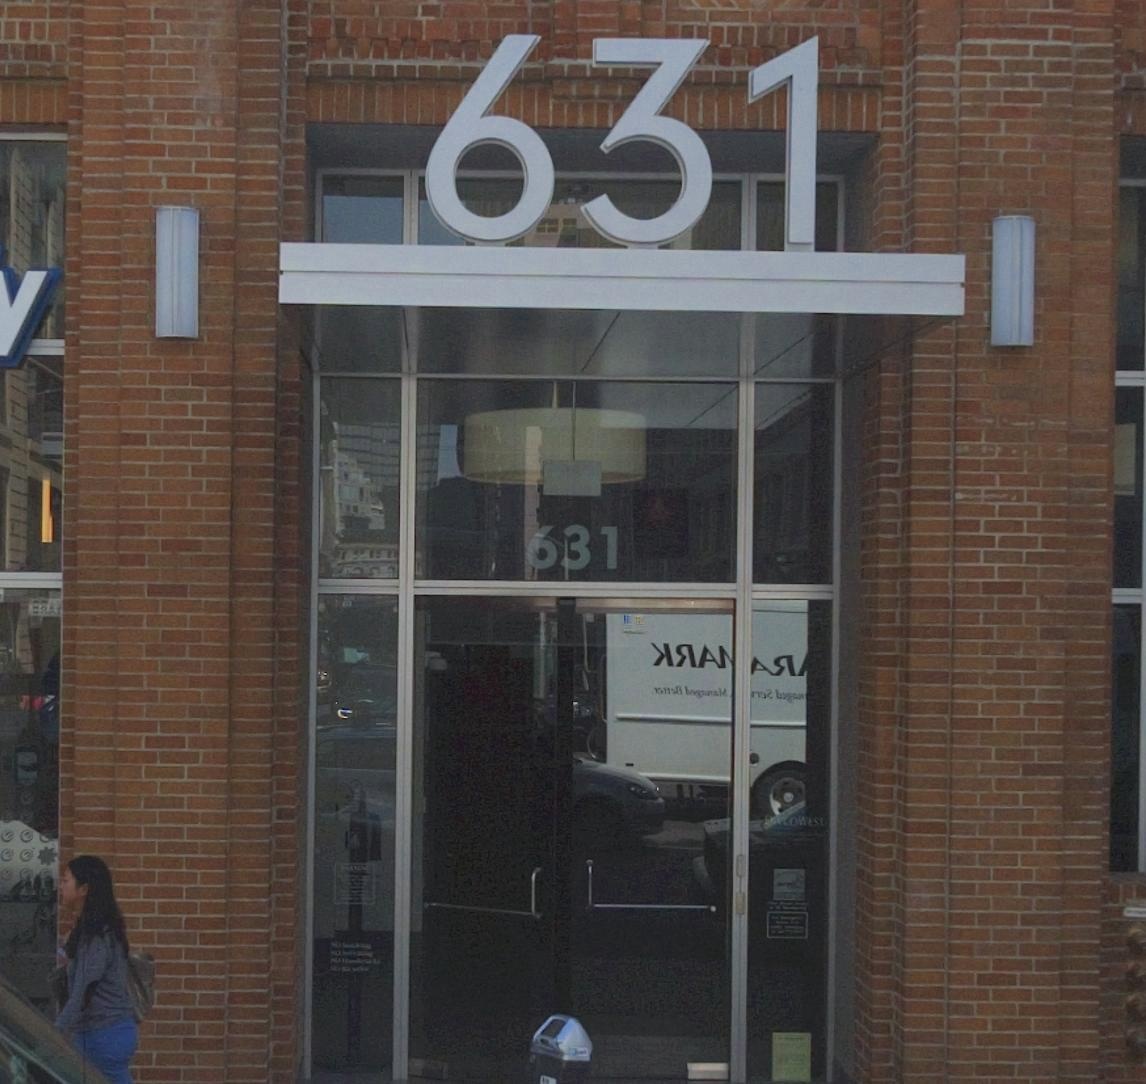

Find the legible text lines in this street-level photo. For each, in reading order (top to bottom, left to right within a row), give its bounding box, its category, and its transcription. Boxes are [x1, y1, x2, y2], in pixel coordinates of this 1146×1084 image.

[411, 28, 821, 251] StreetNumber: 631
[526, 524, 619, 570] StreetNumber: 631